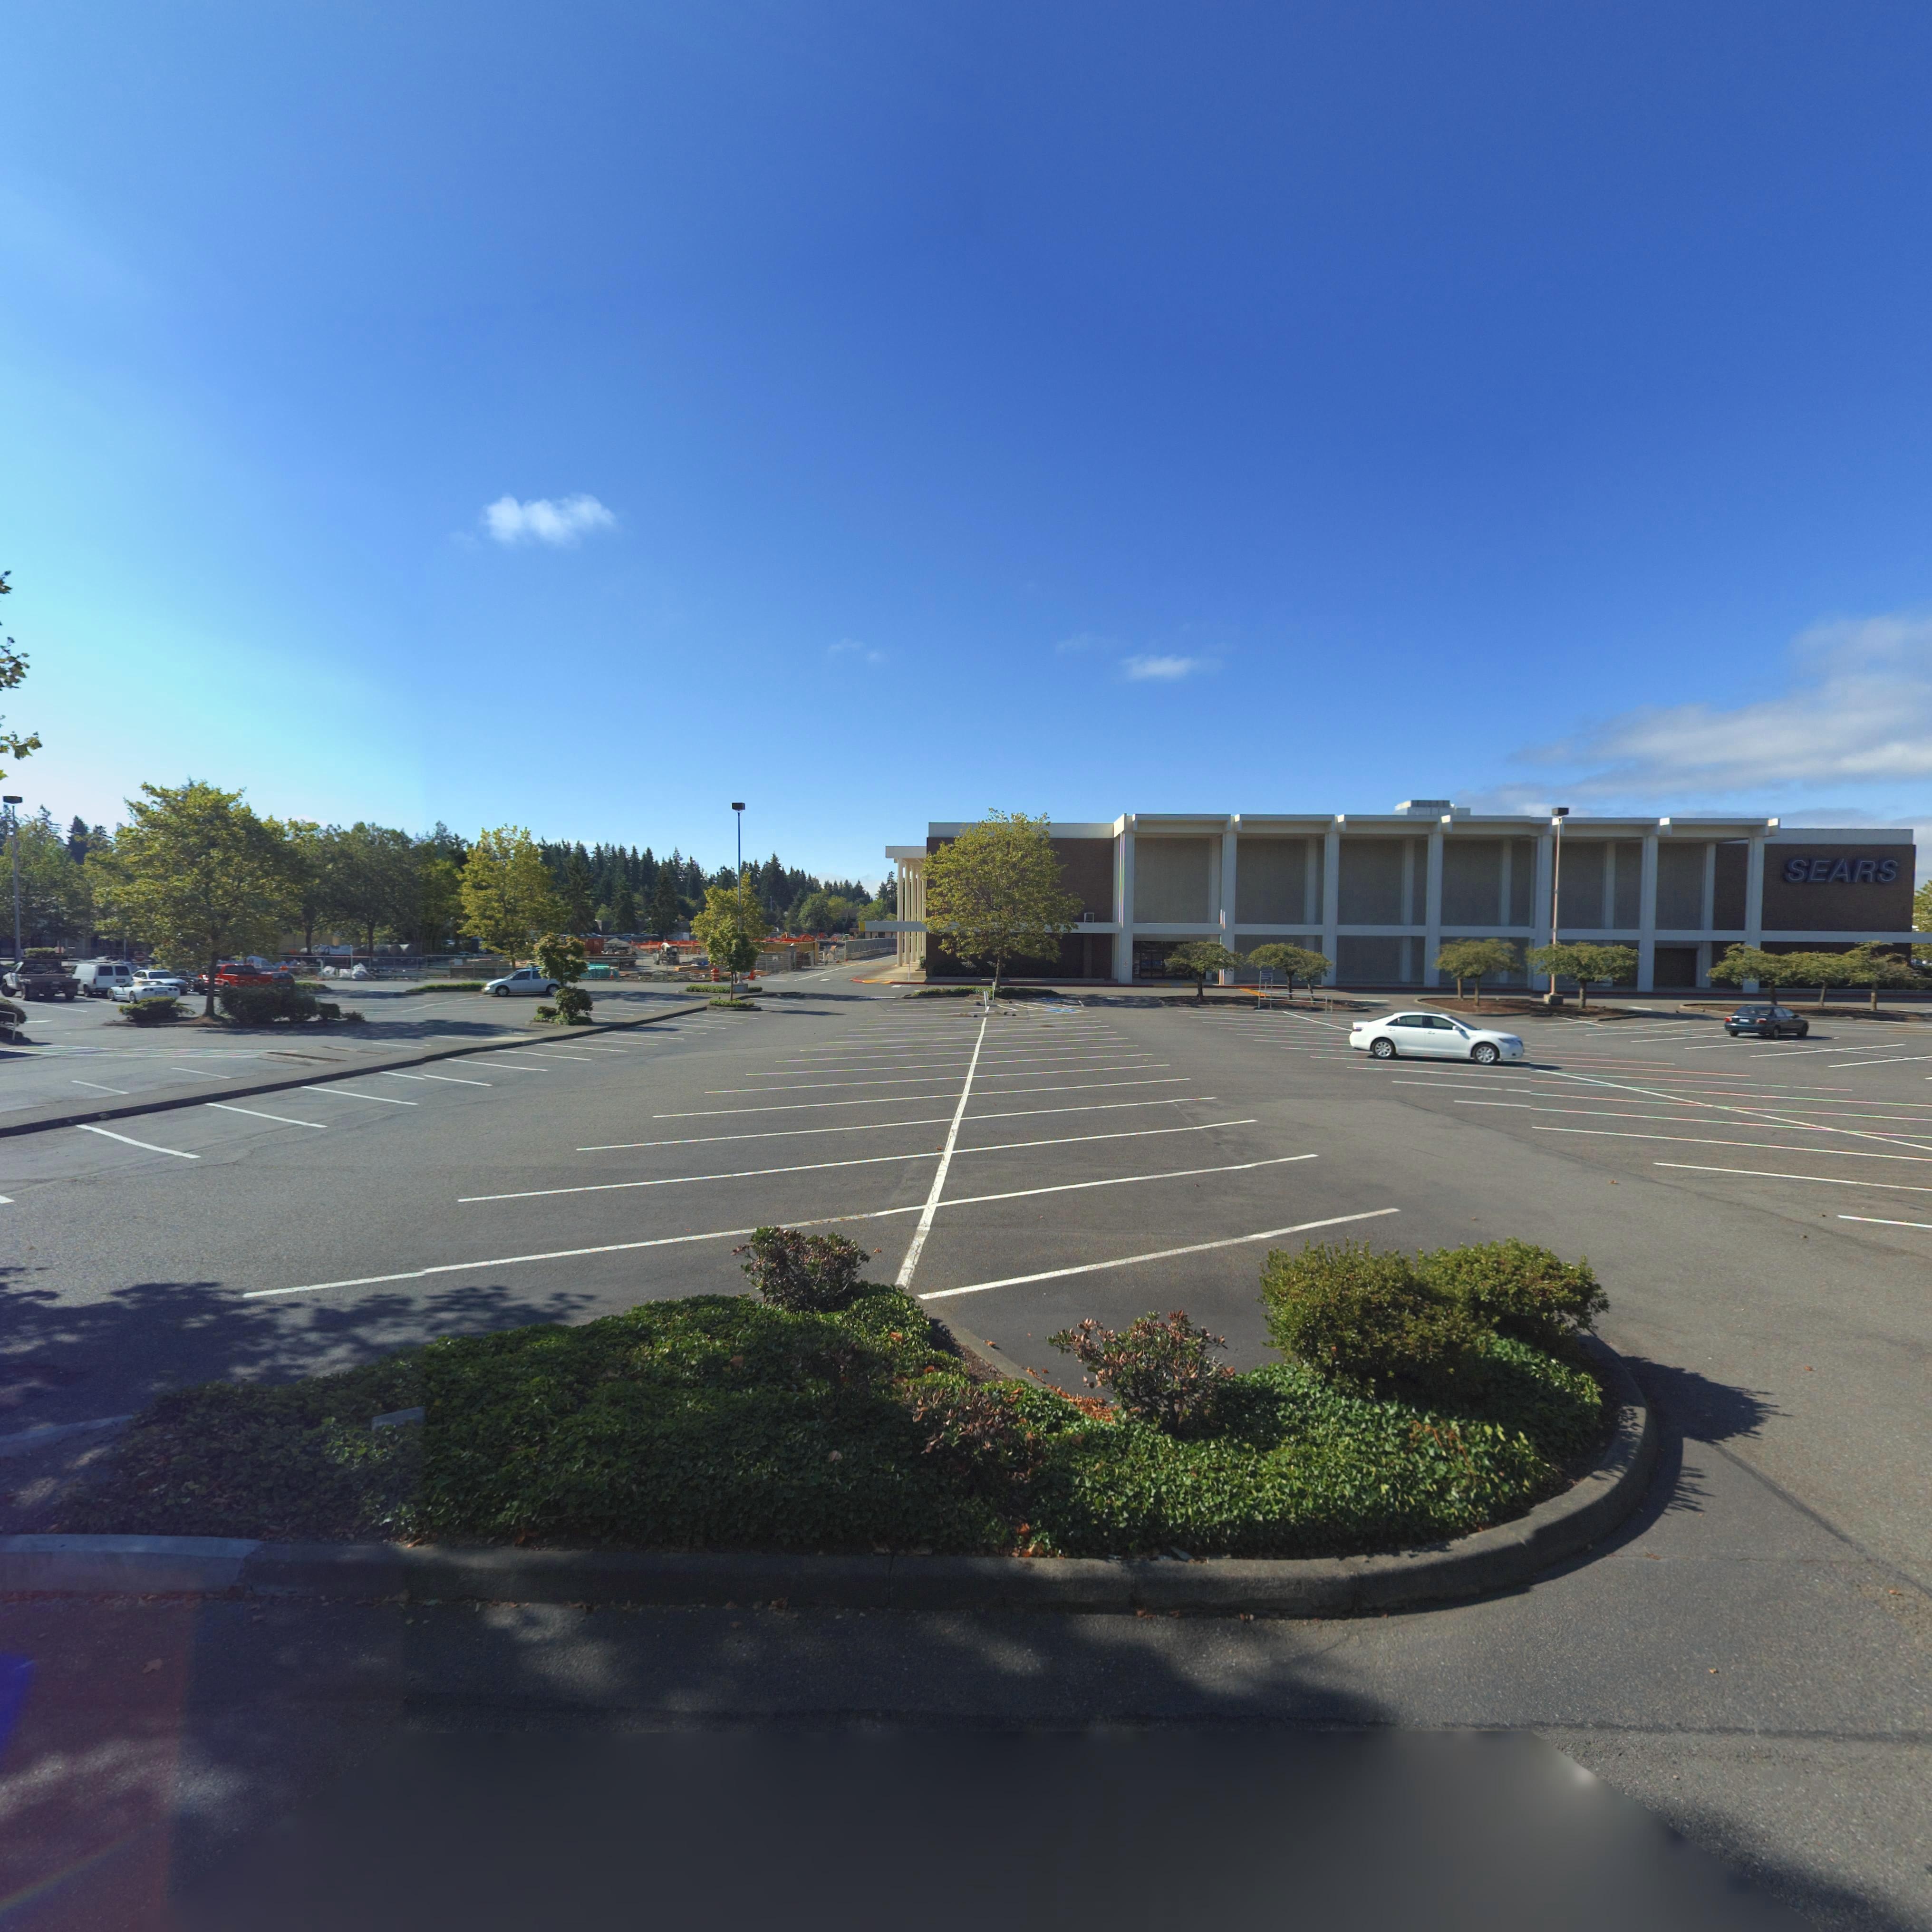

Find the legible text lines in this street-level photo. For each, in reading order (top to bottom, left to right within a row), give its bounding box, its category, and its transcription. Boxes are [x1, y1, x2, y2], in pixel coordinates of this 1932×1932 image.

[1788, 858, 1898, 882] BusinessName: SEARS